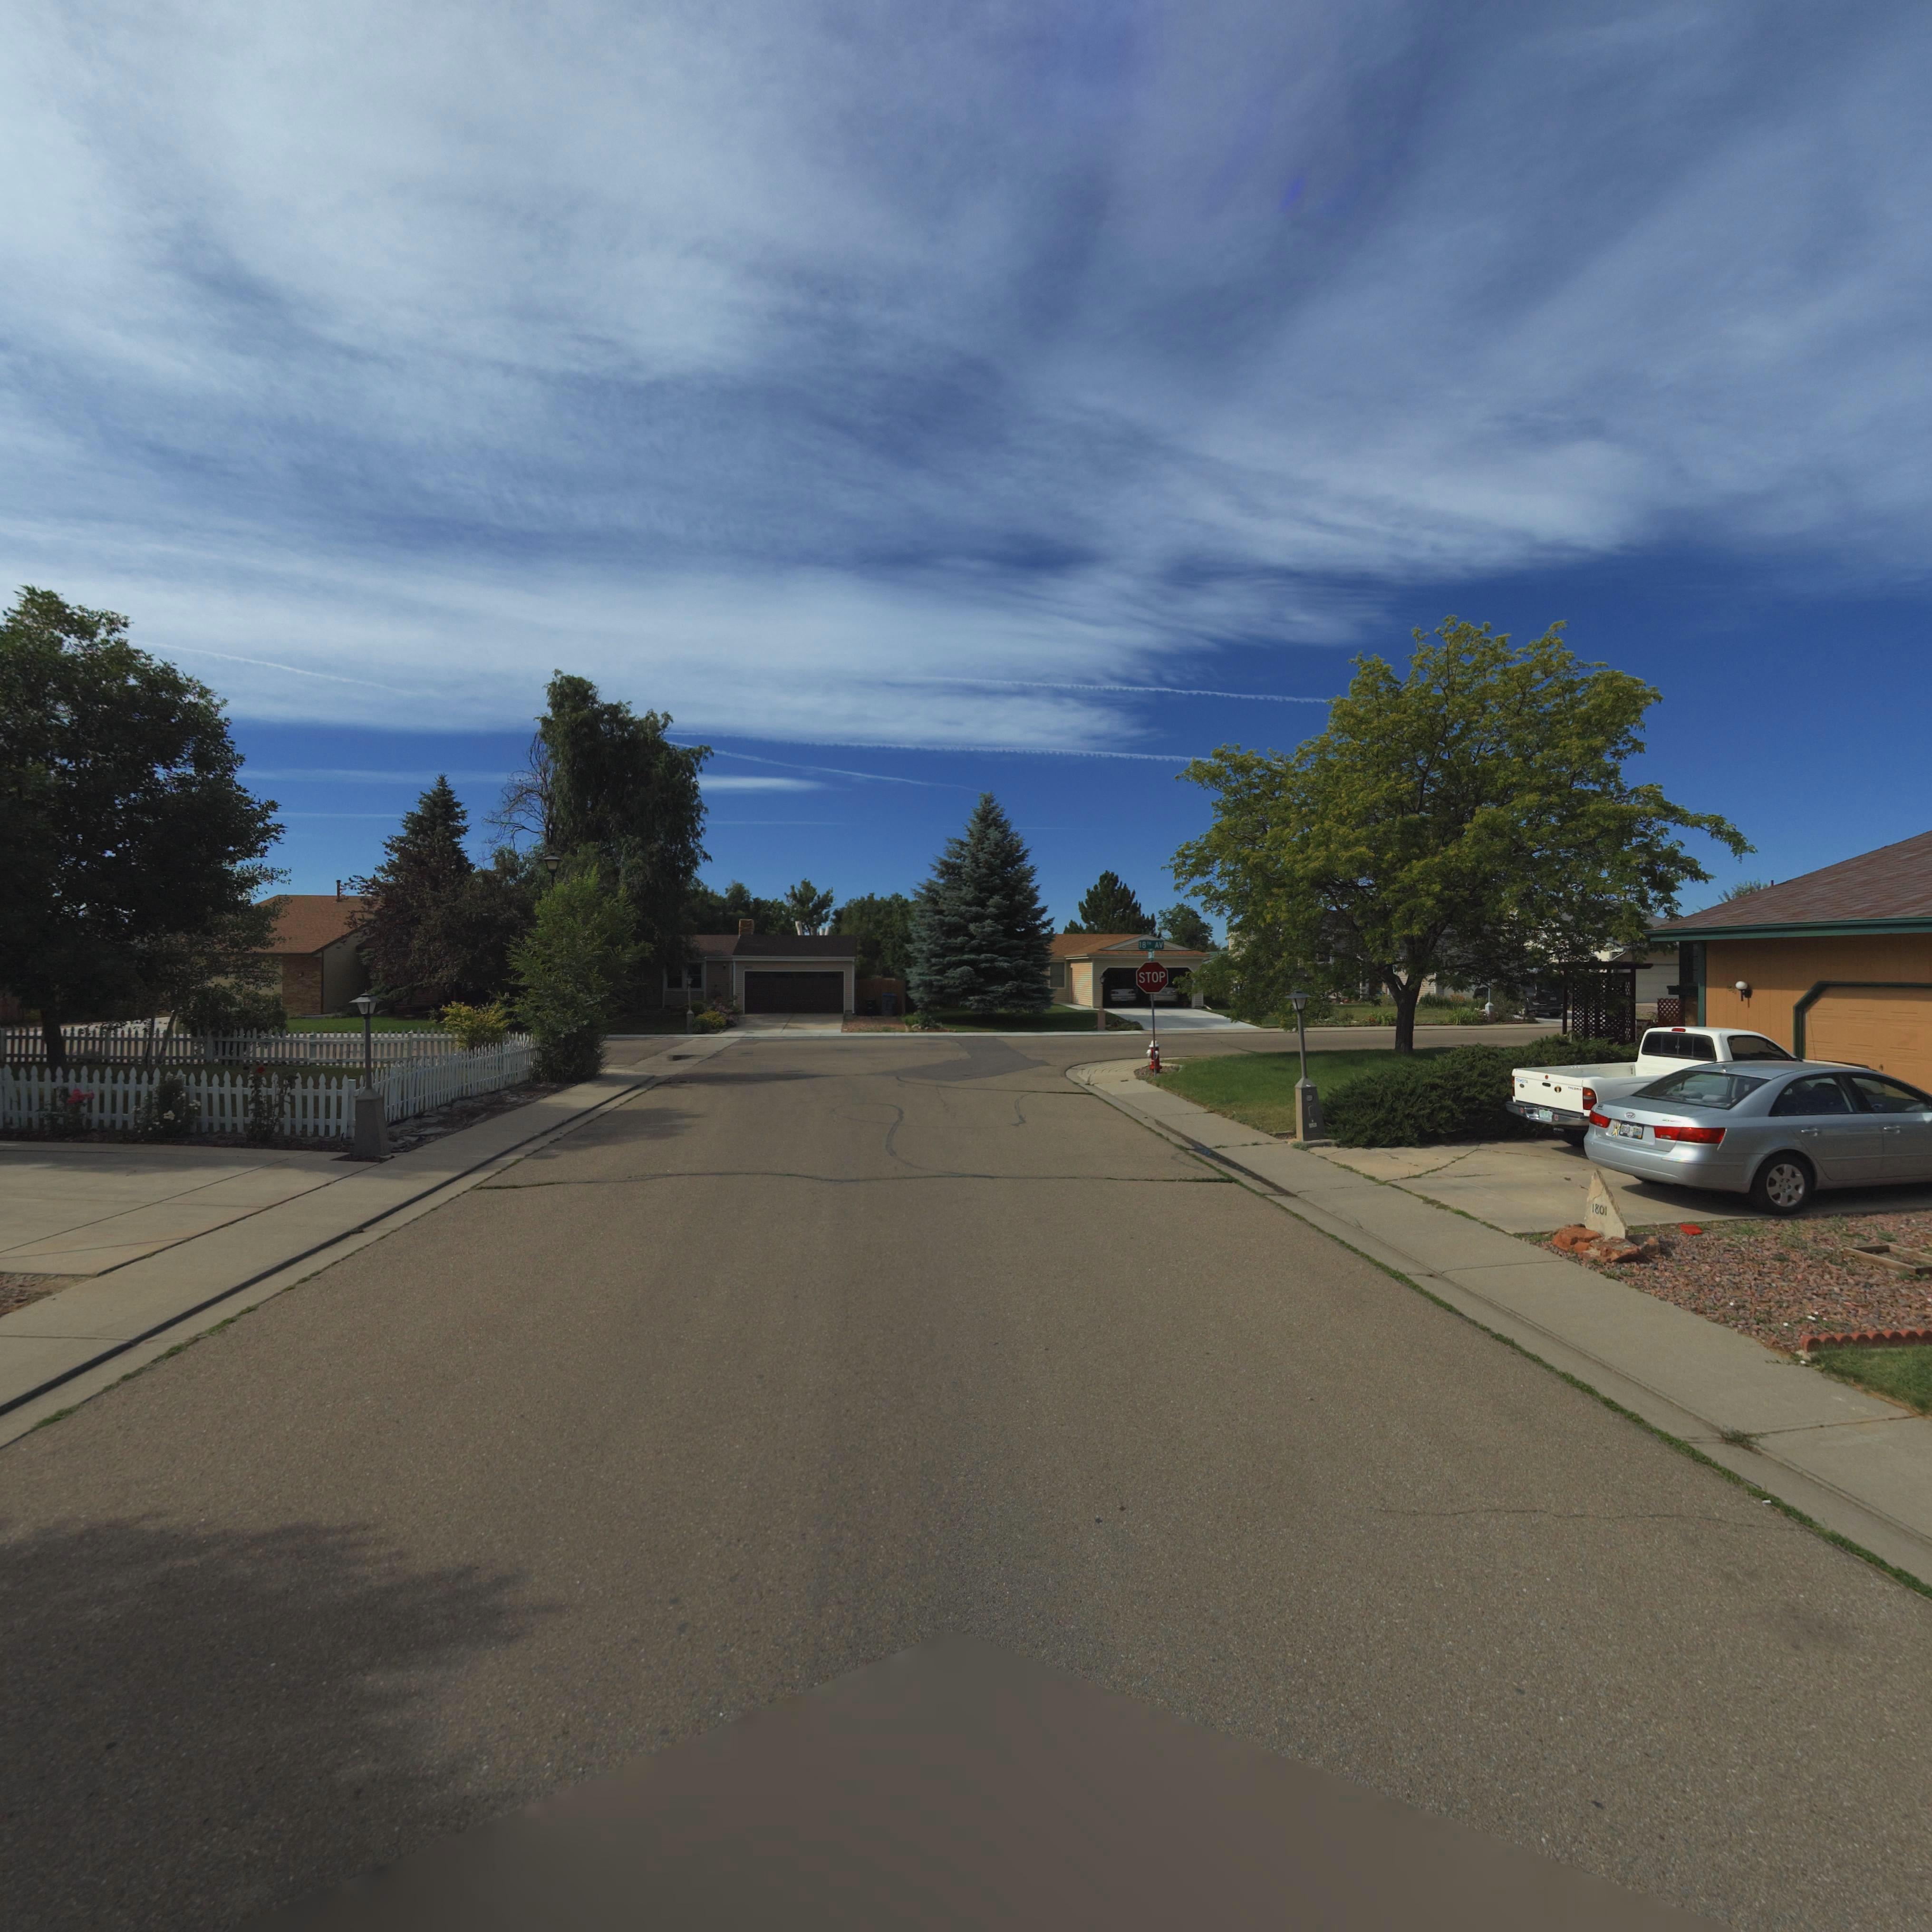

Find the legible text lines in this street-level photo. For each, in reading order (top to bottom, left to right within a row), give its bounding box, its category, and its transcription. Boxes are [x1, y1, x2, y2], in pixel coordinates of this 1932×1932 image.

[1139, 941, 1163, 949] StreetName: 18TH AV
[1591, 1202, 1608, 1217] StreetNumber: 1801